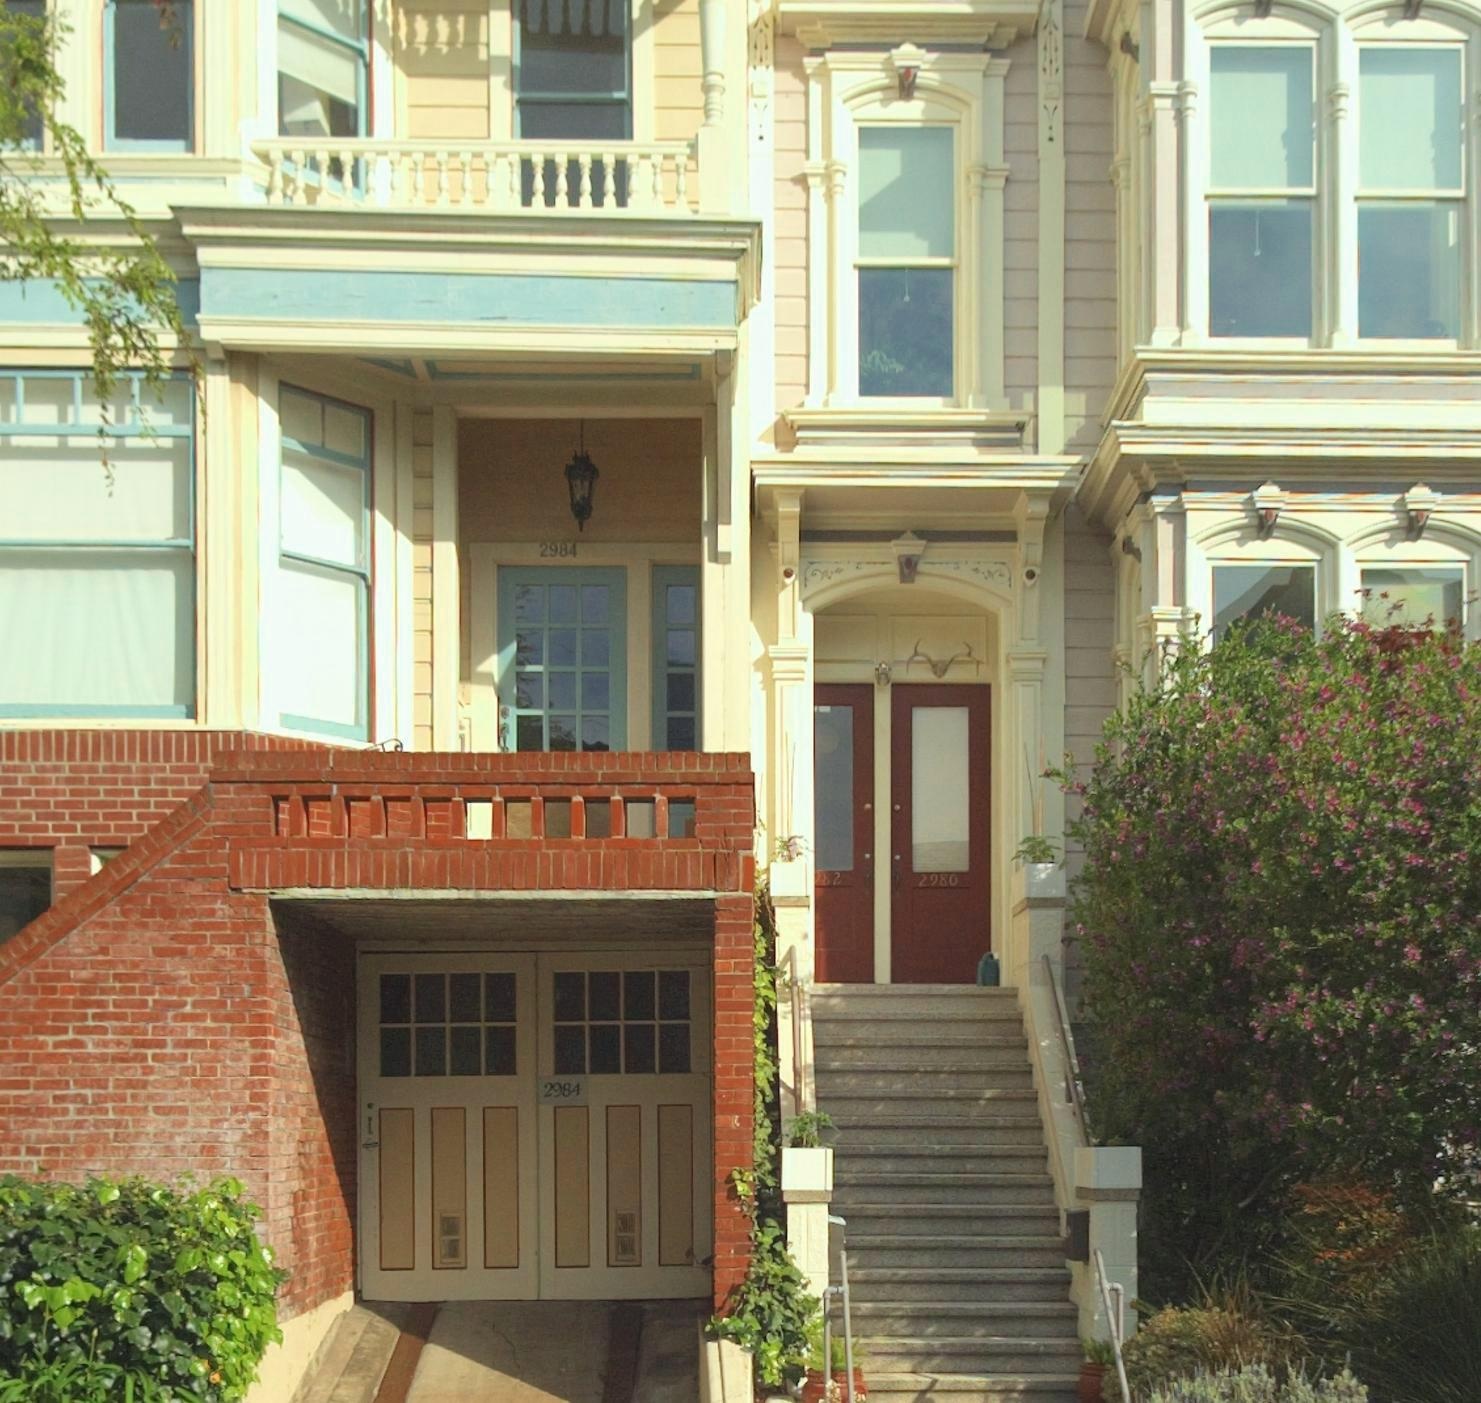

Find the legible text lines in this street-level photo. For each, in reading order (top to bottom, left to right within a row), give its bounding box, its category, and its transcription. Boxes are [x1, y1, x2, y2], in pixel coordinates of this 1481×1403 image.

[538, 539, 578, 559] StreetNumber: 2984
[820, 869, 844, 888] StreetNumber: 82
[916, 871, 960, 889] StreetNumber: 2980
[541, 1079, 584, 1100] StreetNumber: 2984